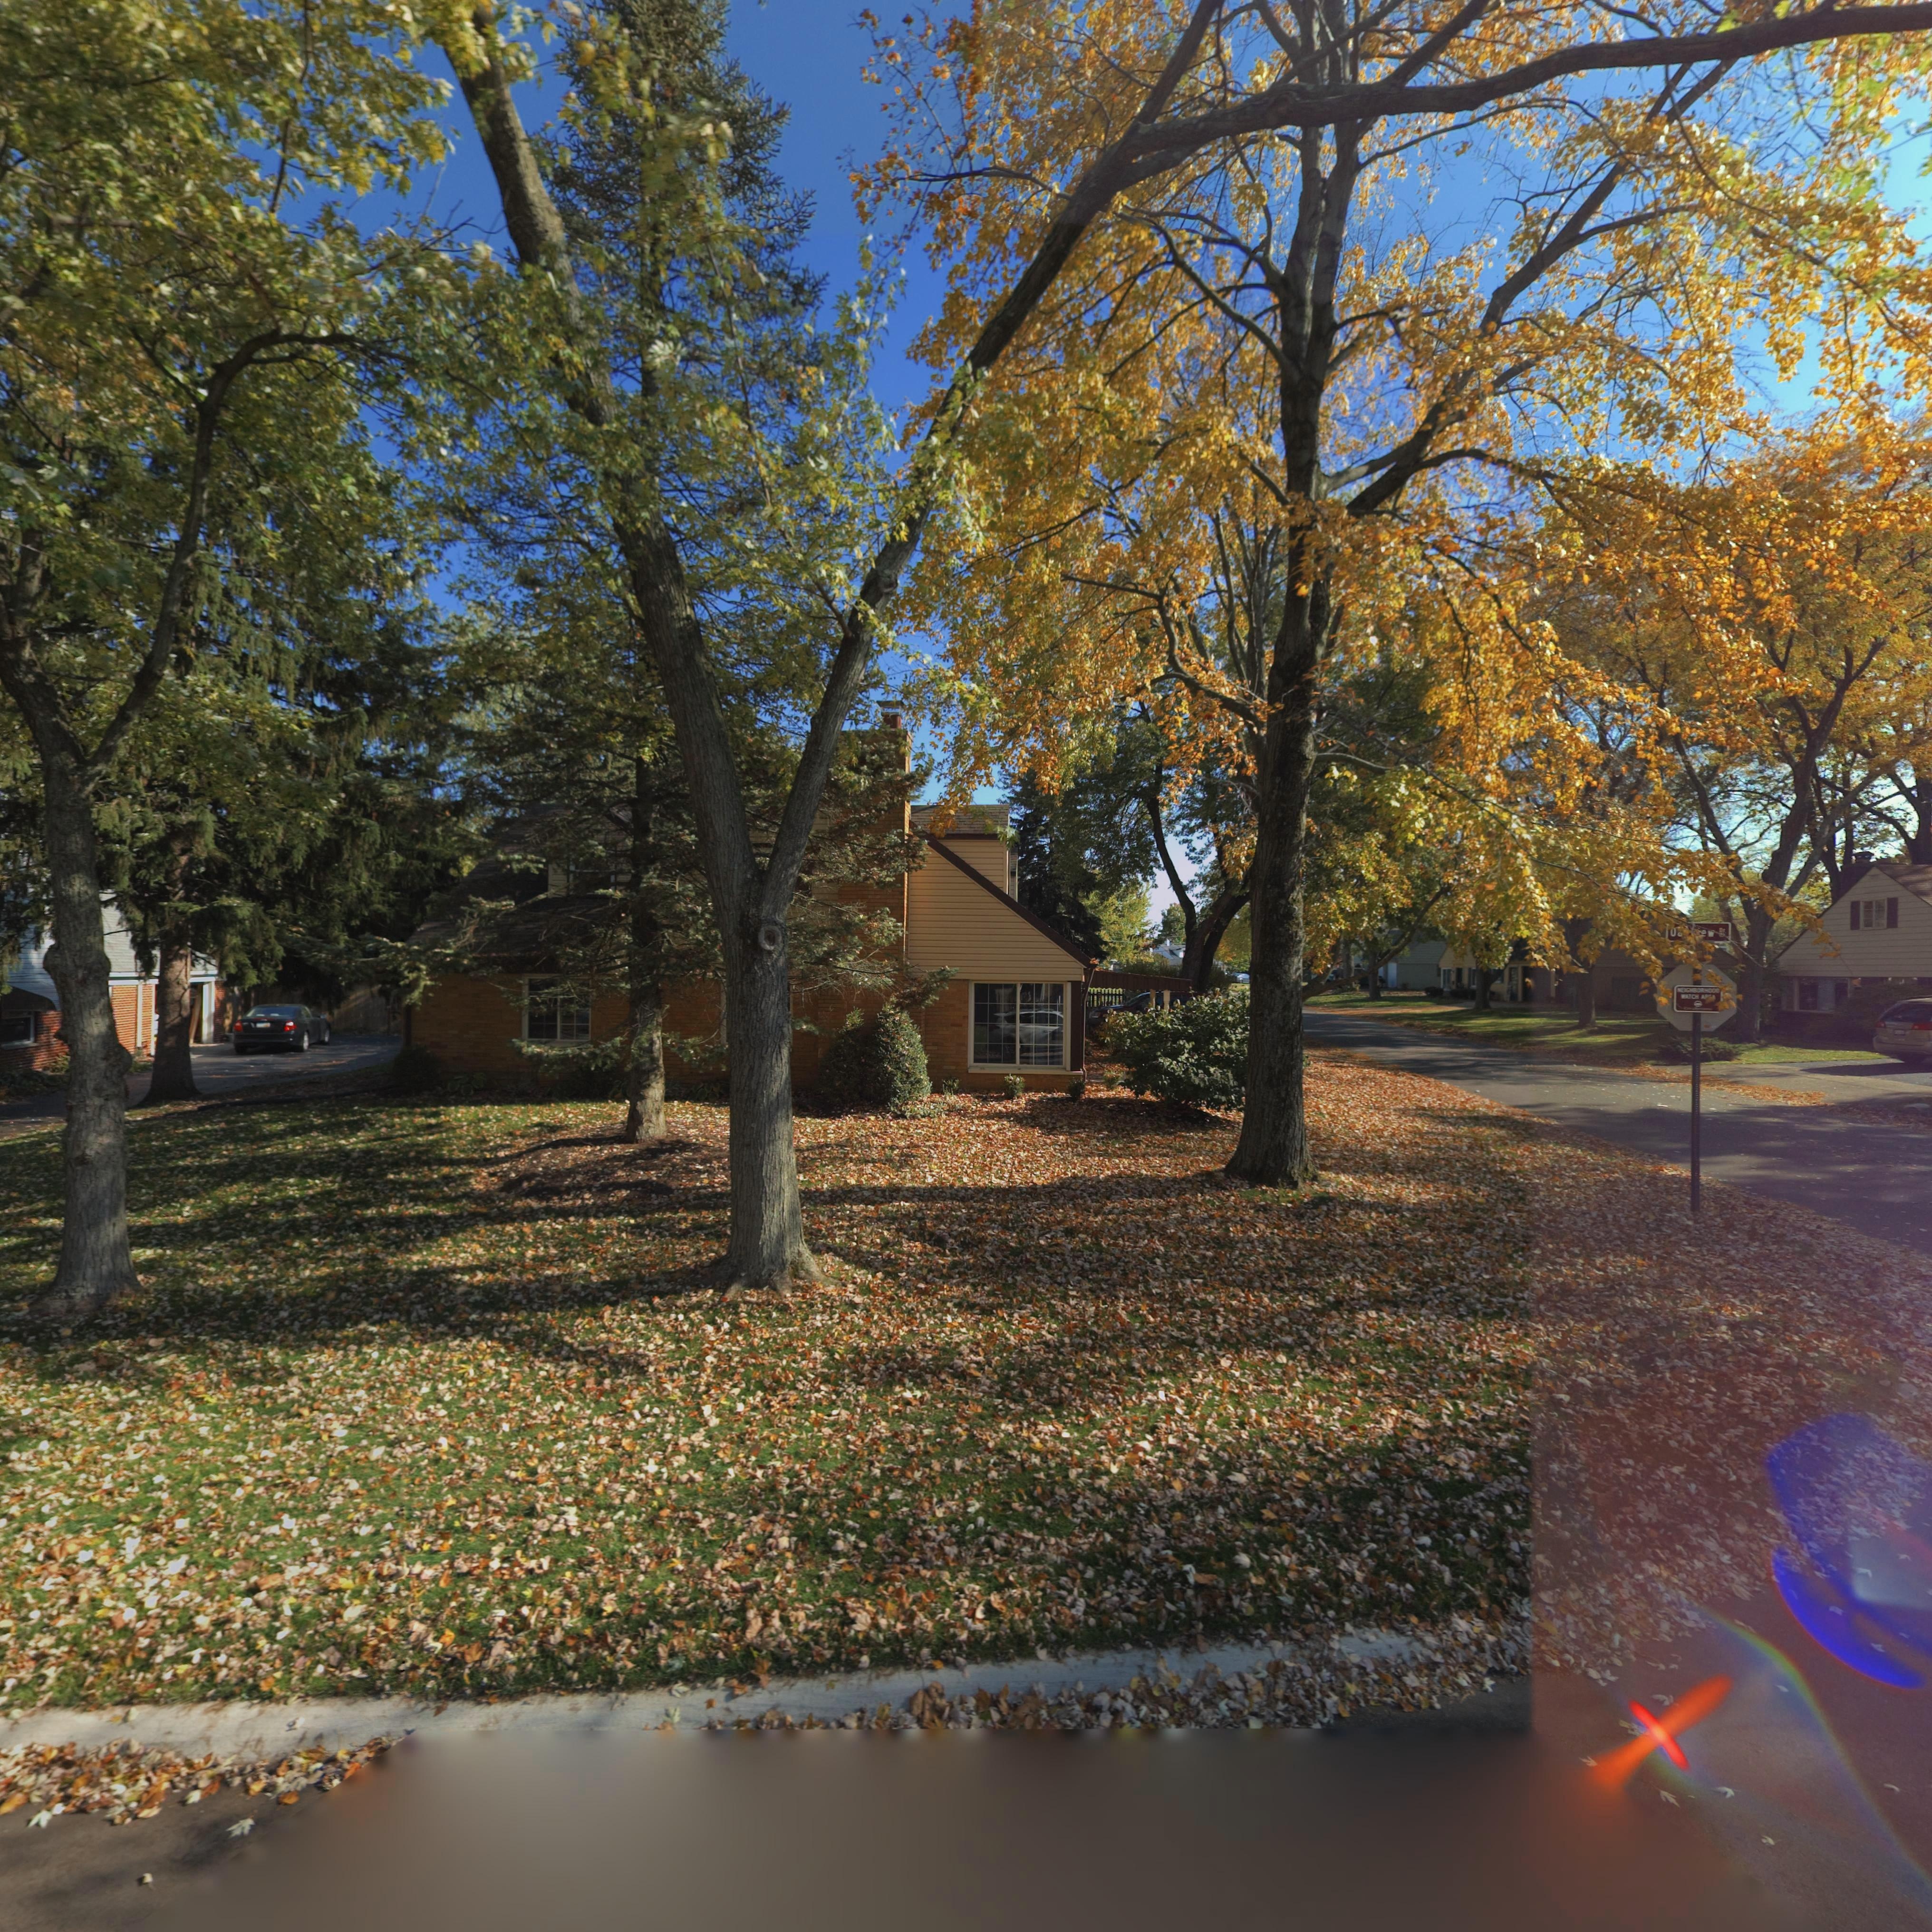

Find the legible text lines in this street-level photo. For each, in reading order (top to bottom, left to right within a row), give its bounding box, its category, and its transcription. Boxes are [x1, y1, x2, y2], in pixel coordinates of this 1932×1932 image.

[1676, 987, 1720, 993] None: NEIGHBORHOOD
[1680, 994, 1699, 999] None: WATCH